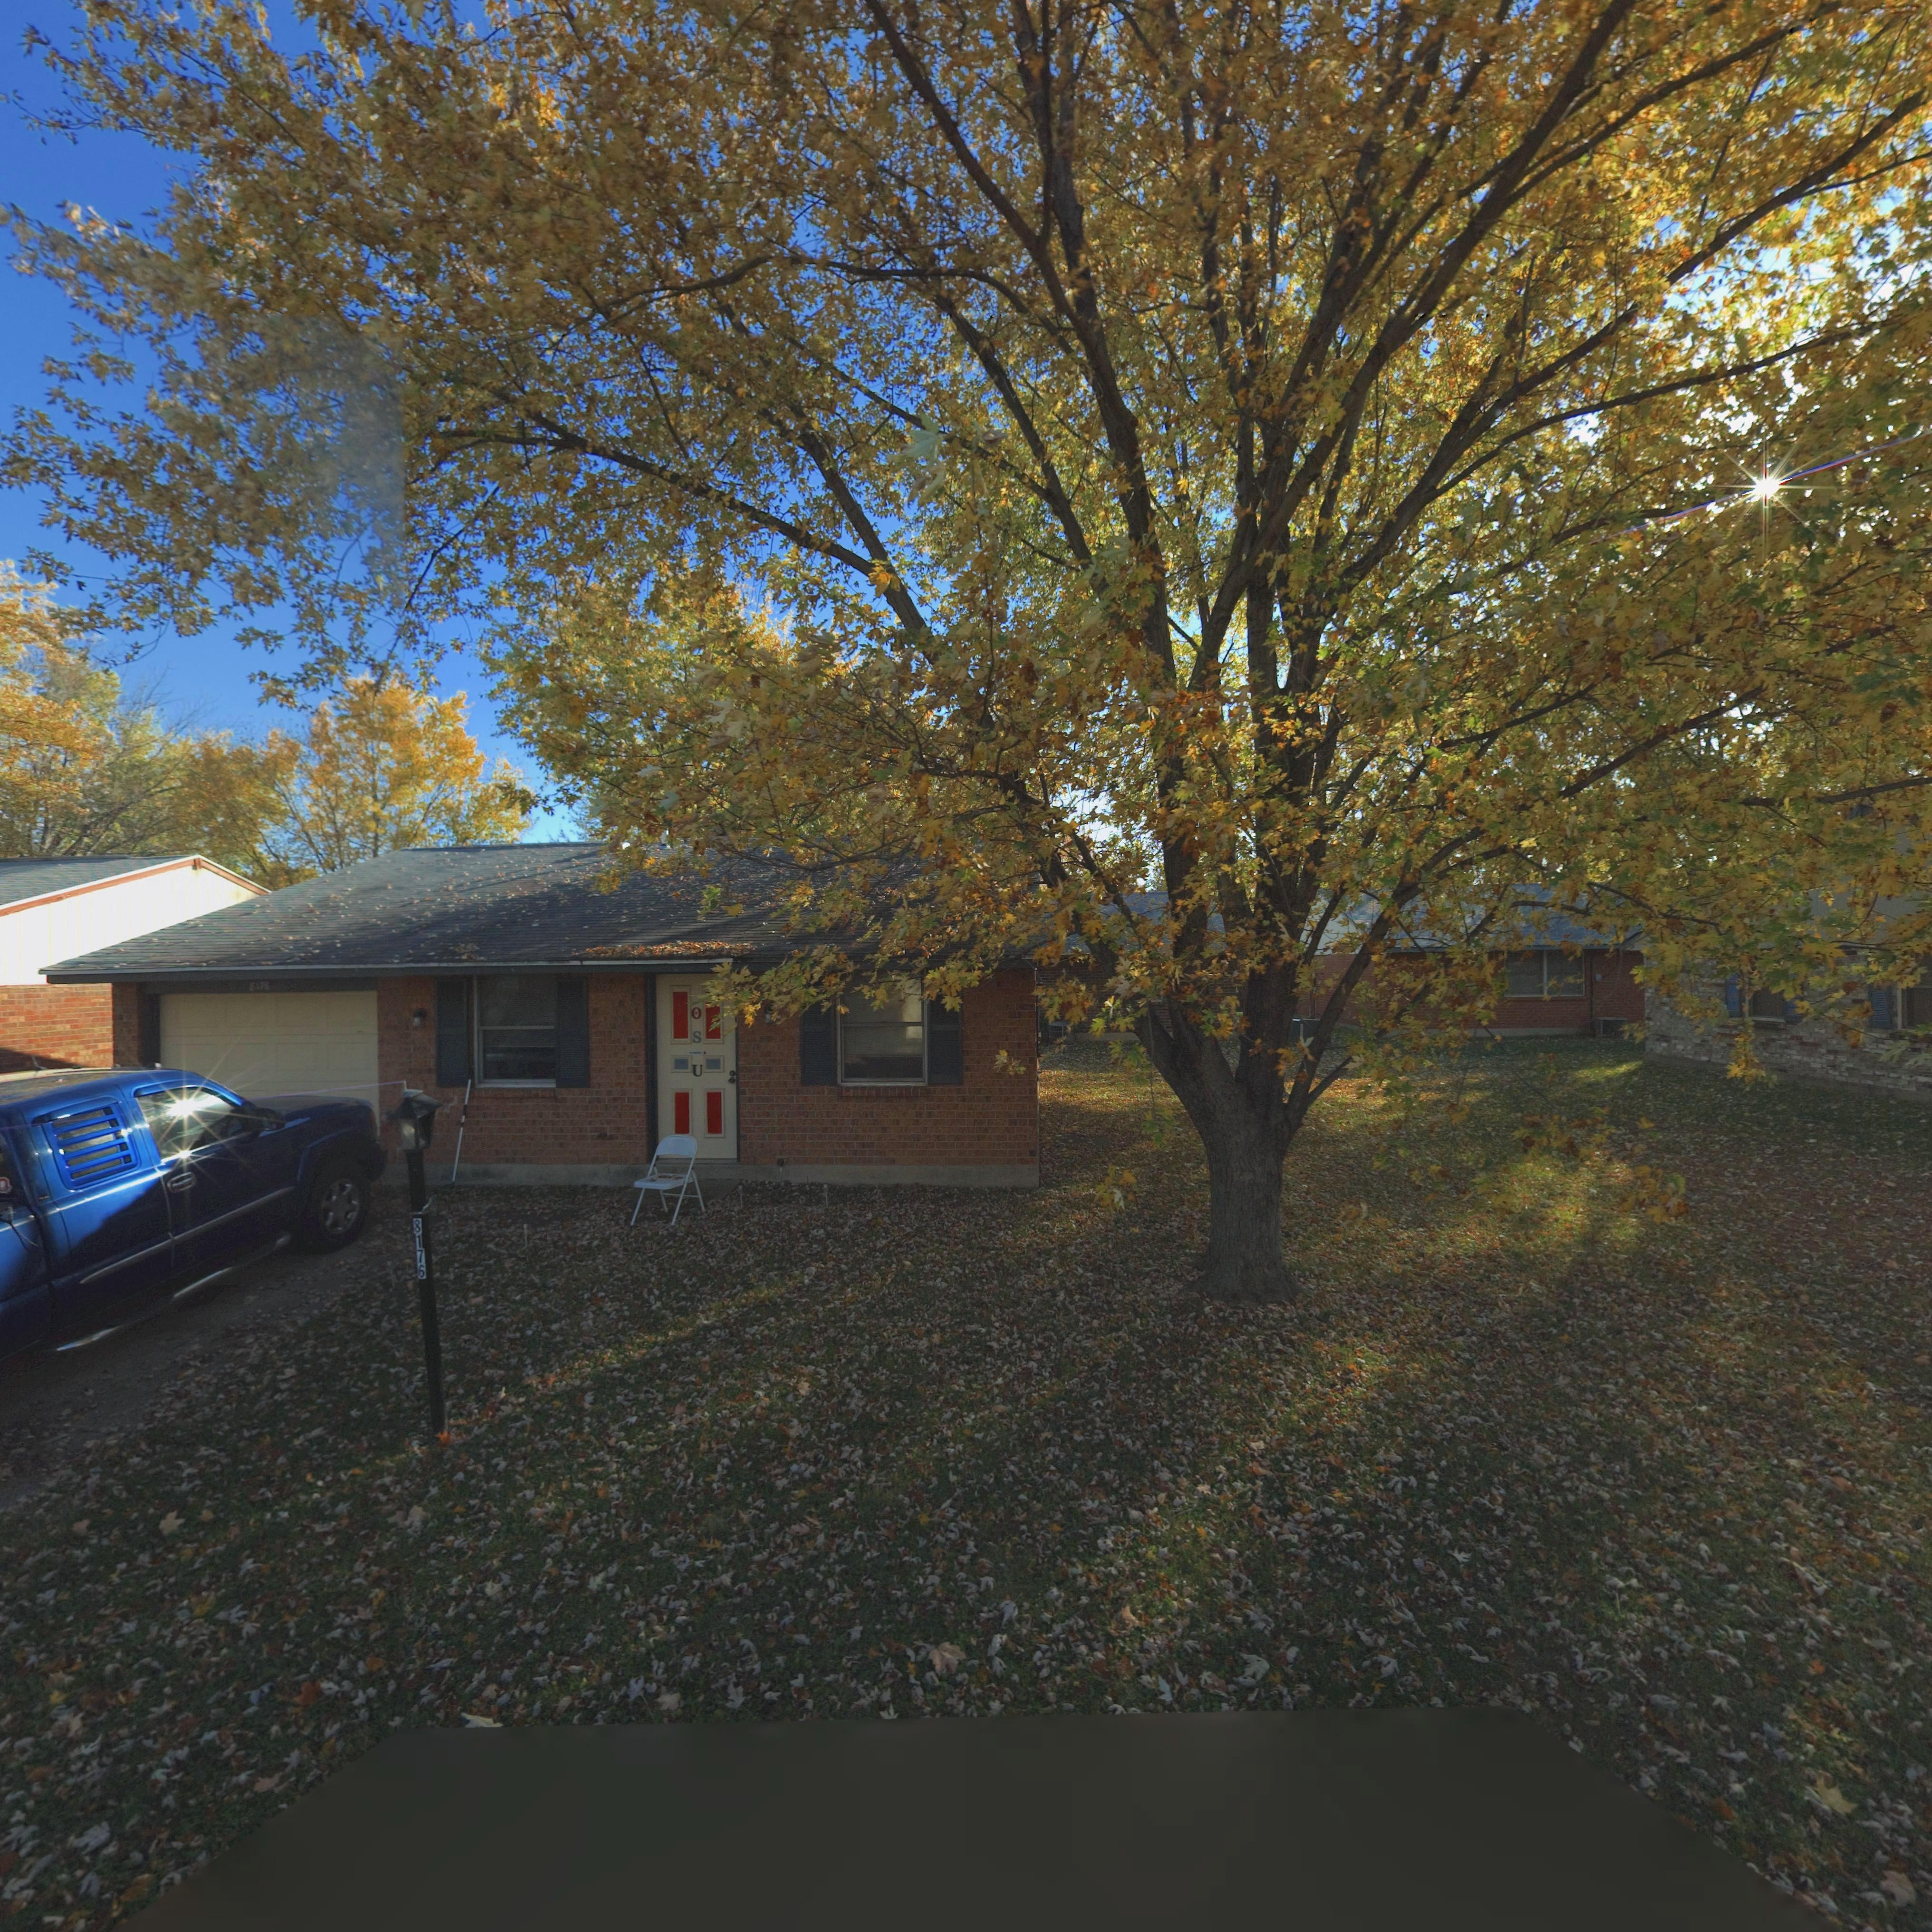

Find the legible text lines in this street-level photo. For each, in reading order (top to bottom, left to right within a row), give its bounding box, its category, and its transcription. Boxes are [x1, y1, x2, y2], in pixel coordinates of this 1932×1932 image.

[248, 980, 270, 993] StreetNumber: 8176
[414, 1218, 425, 1279] StreetNumber: 8176